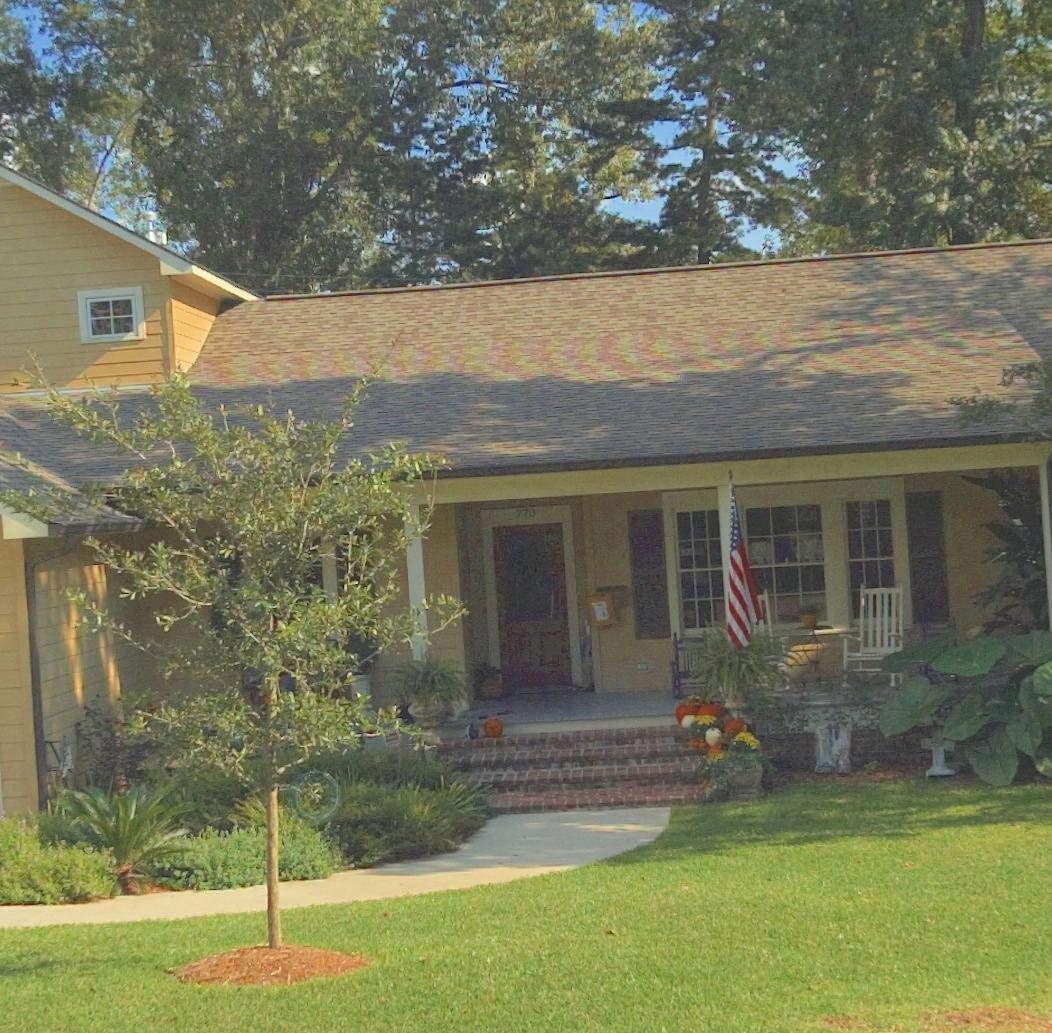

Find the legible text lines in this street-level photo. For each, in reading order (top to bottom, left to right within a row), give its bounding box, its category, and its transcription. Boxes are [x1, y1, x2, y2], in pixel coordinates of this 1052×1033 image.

[515, 508, 536, 518] StreetNumber: 770